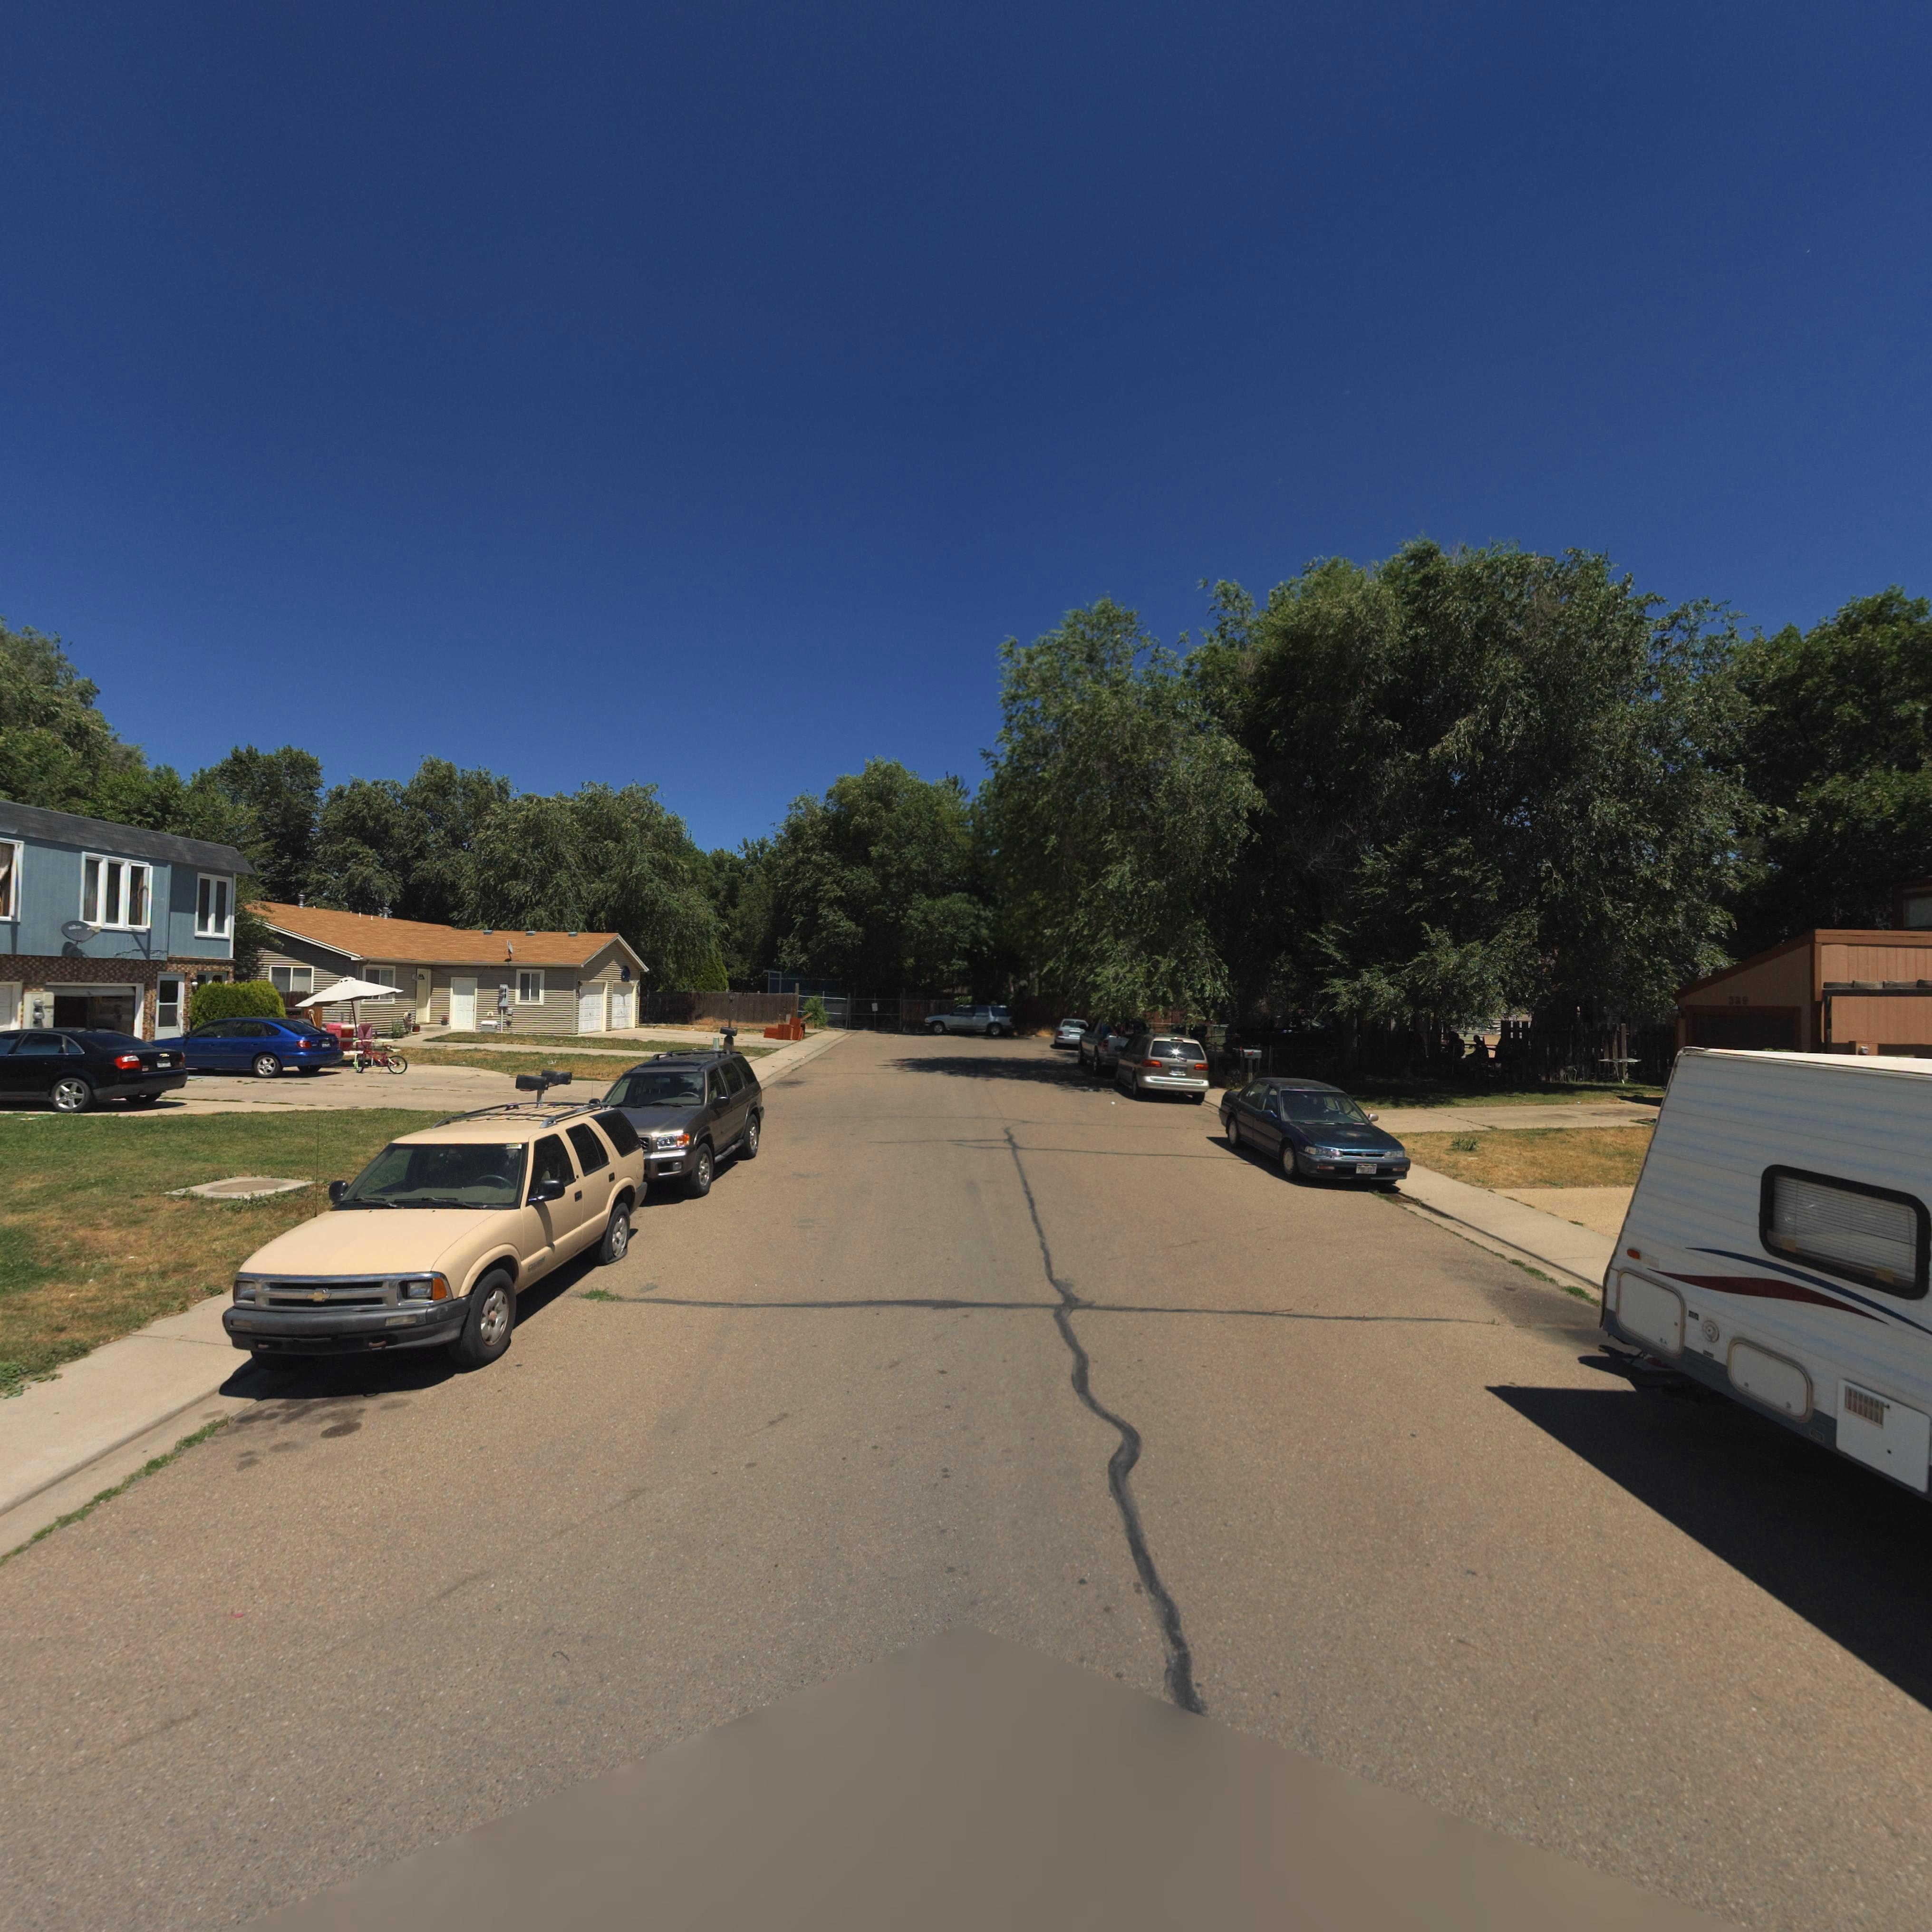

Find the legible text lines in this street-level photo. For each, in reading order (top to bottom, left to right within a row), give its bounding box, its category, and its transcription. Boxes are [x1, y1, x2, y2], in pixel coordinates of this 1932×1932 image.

[1728, 995, 1748, 1005] StreetNumber: 339